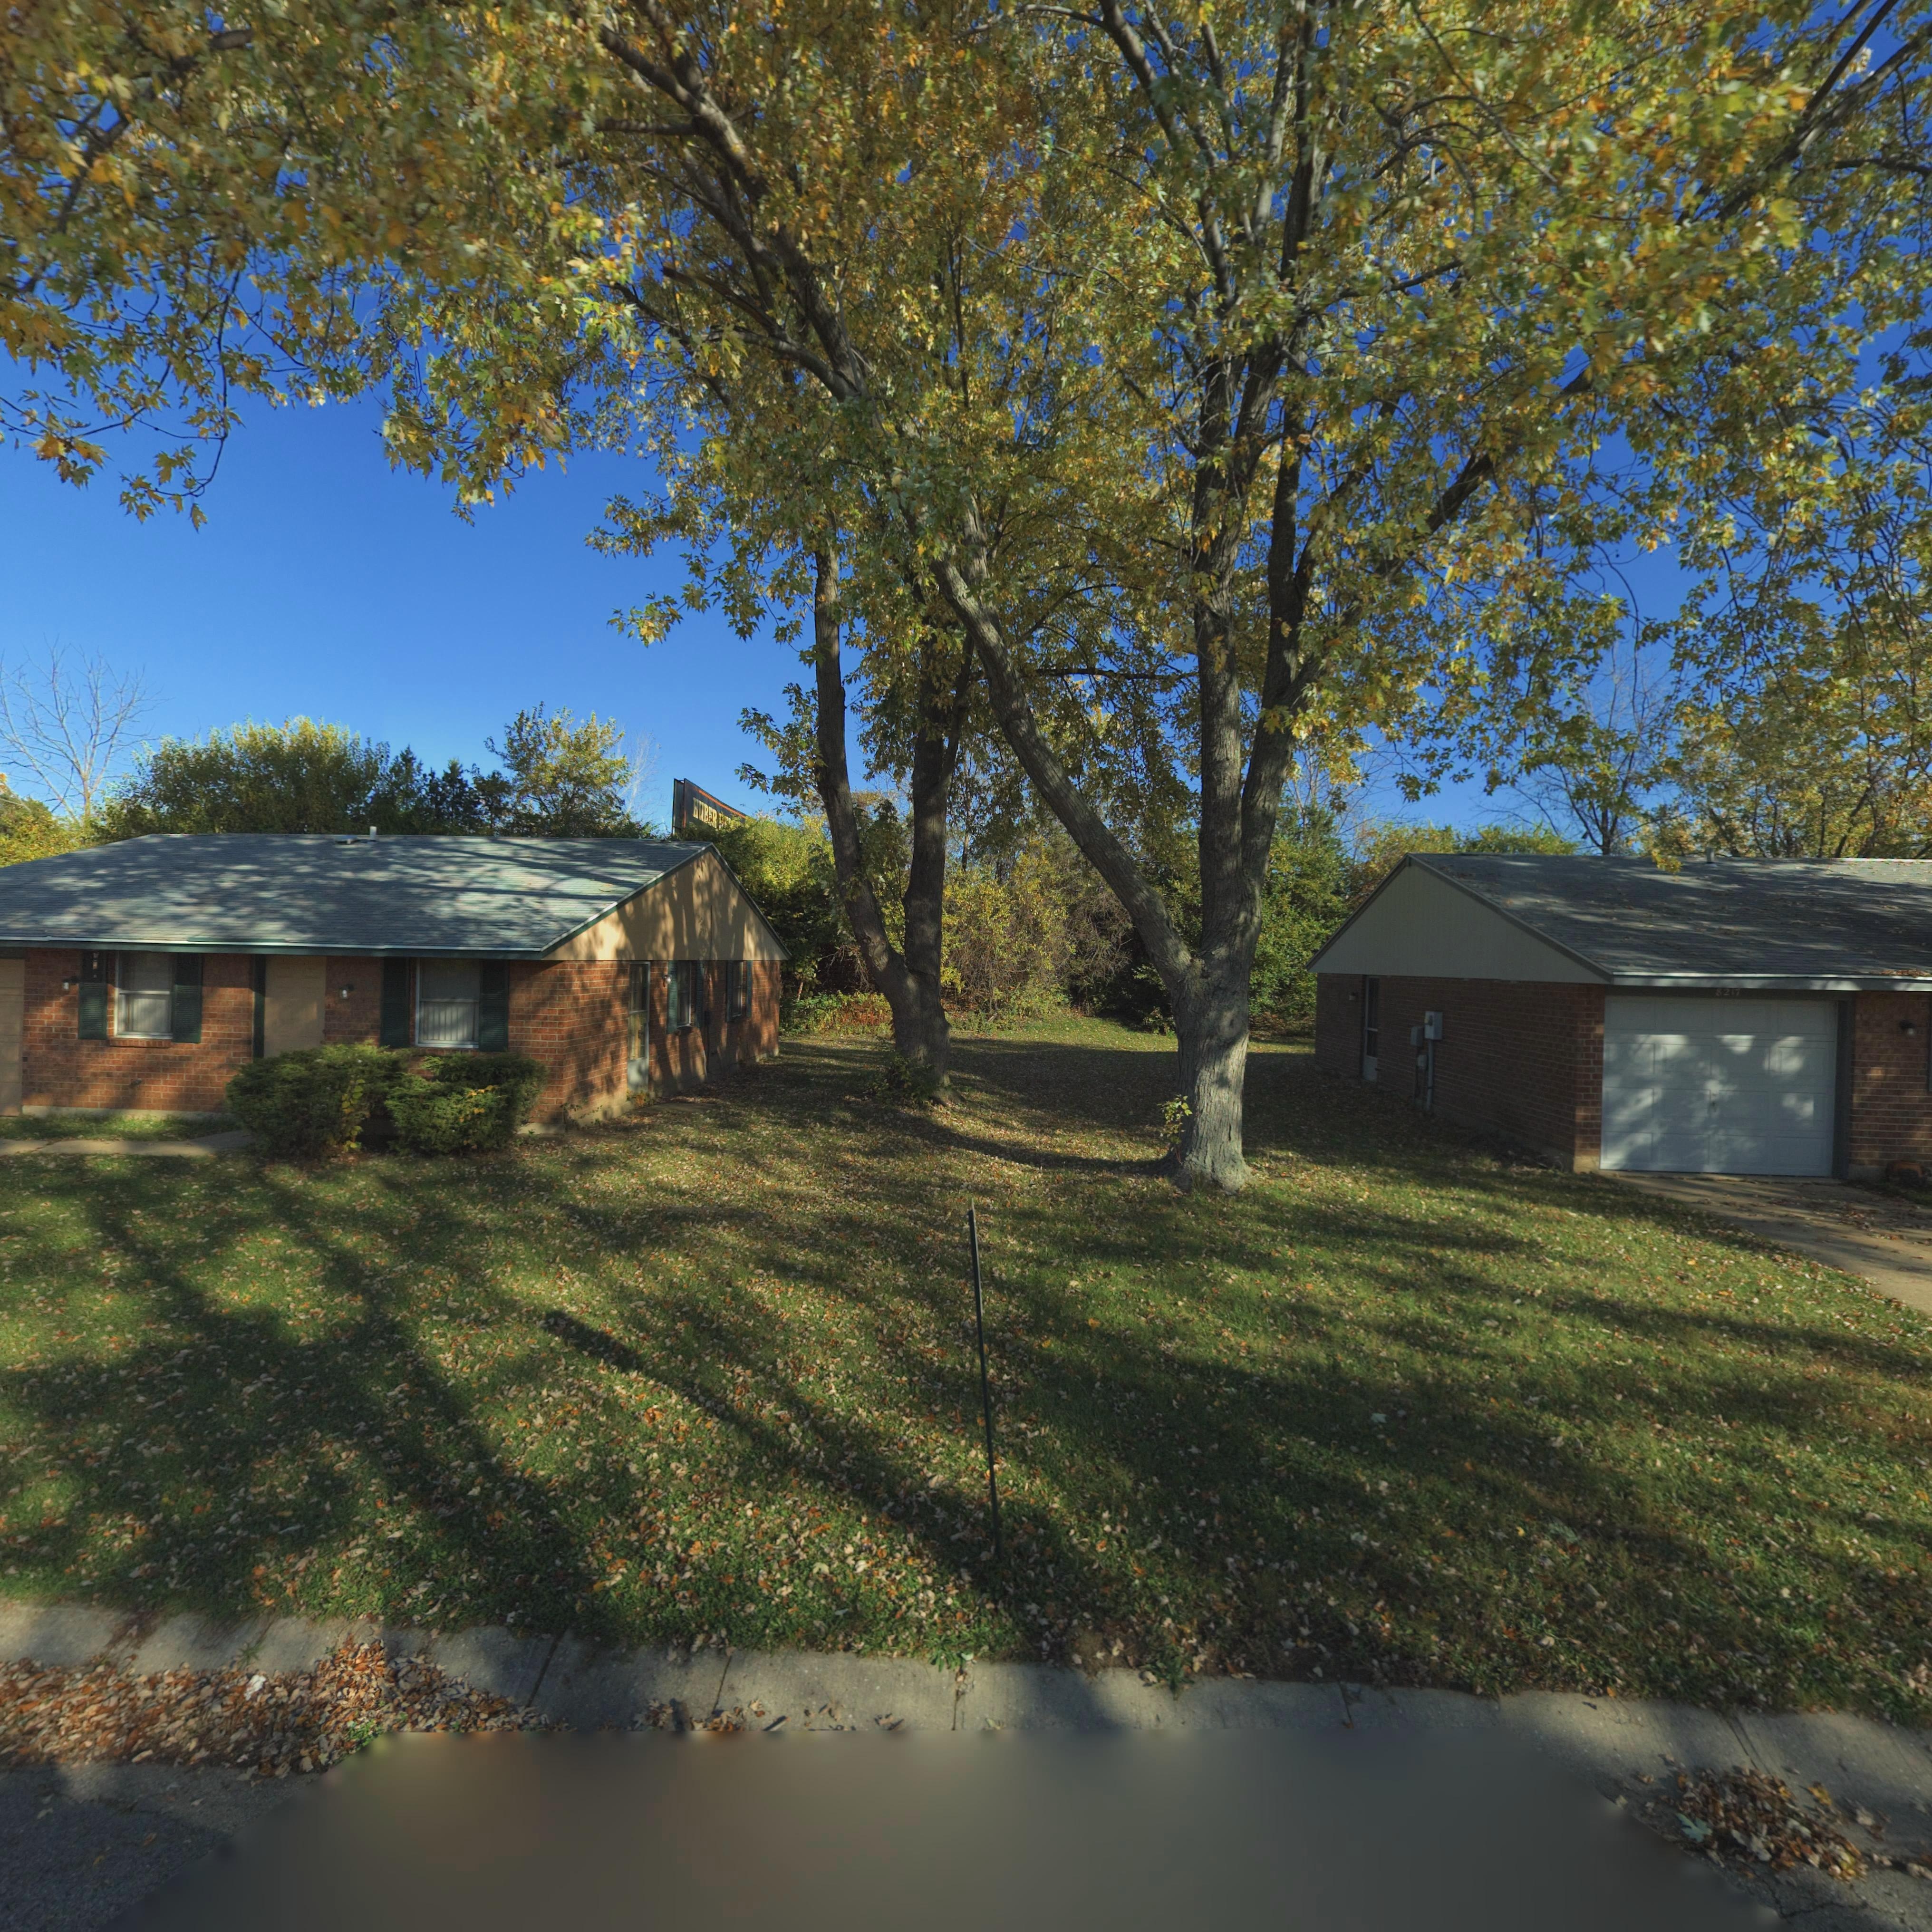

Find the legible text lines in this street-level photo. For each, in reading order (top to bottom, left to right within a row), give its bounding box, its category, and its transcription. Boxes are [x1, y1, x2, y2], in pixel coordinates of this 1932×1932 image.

[1715, 987, 1741, 997] StreetNumber: 8217